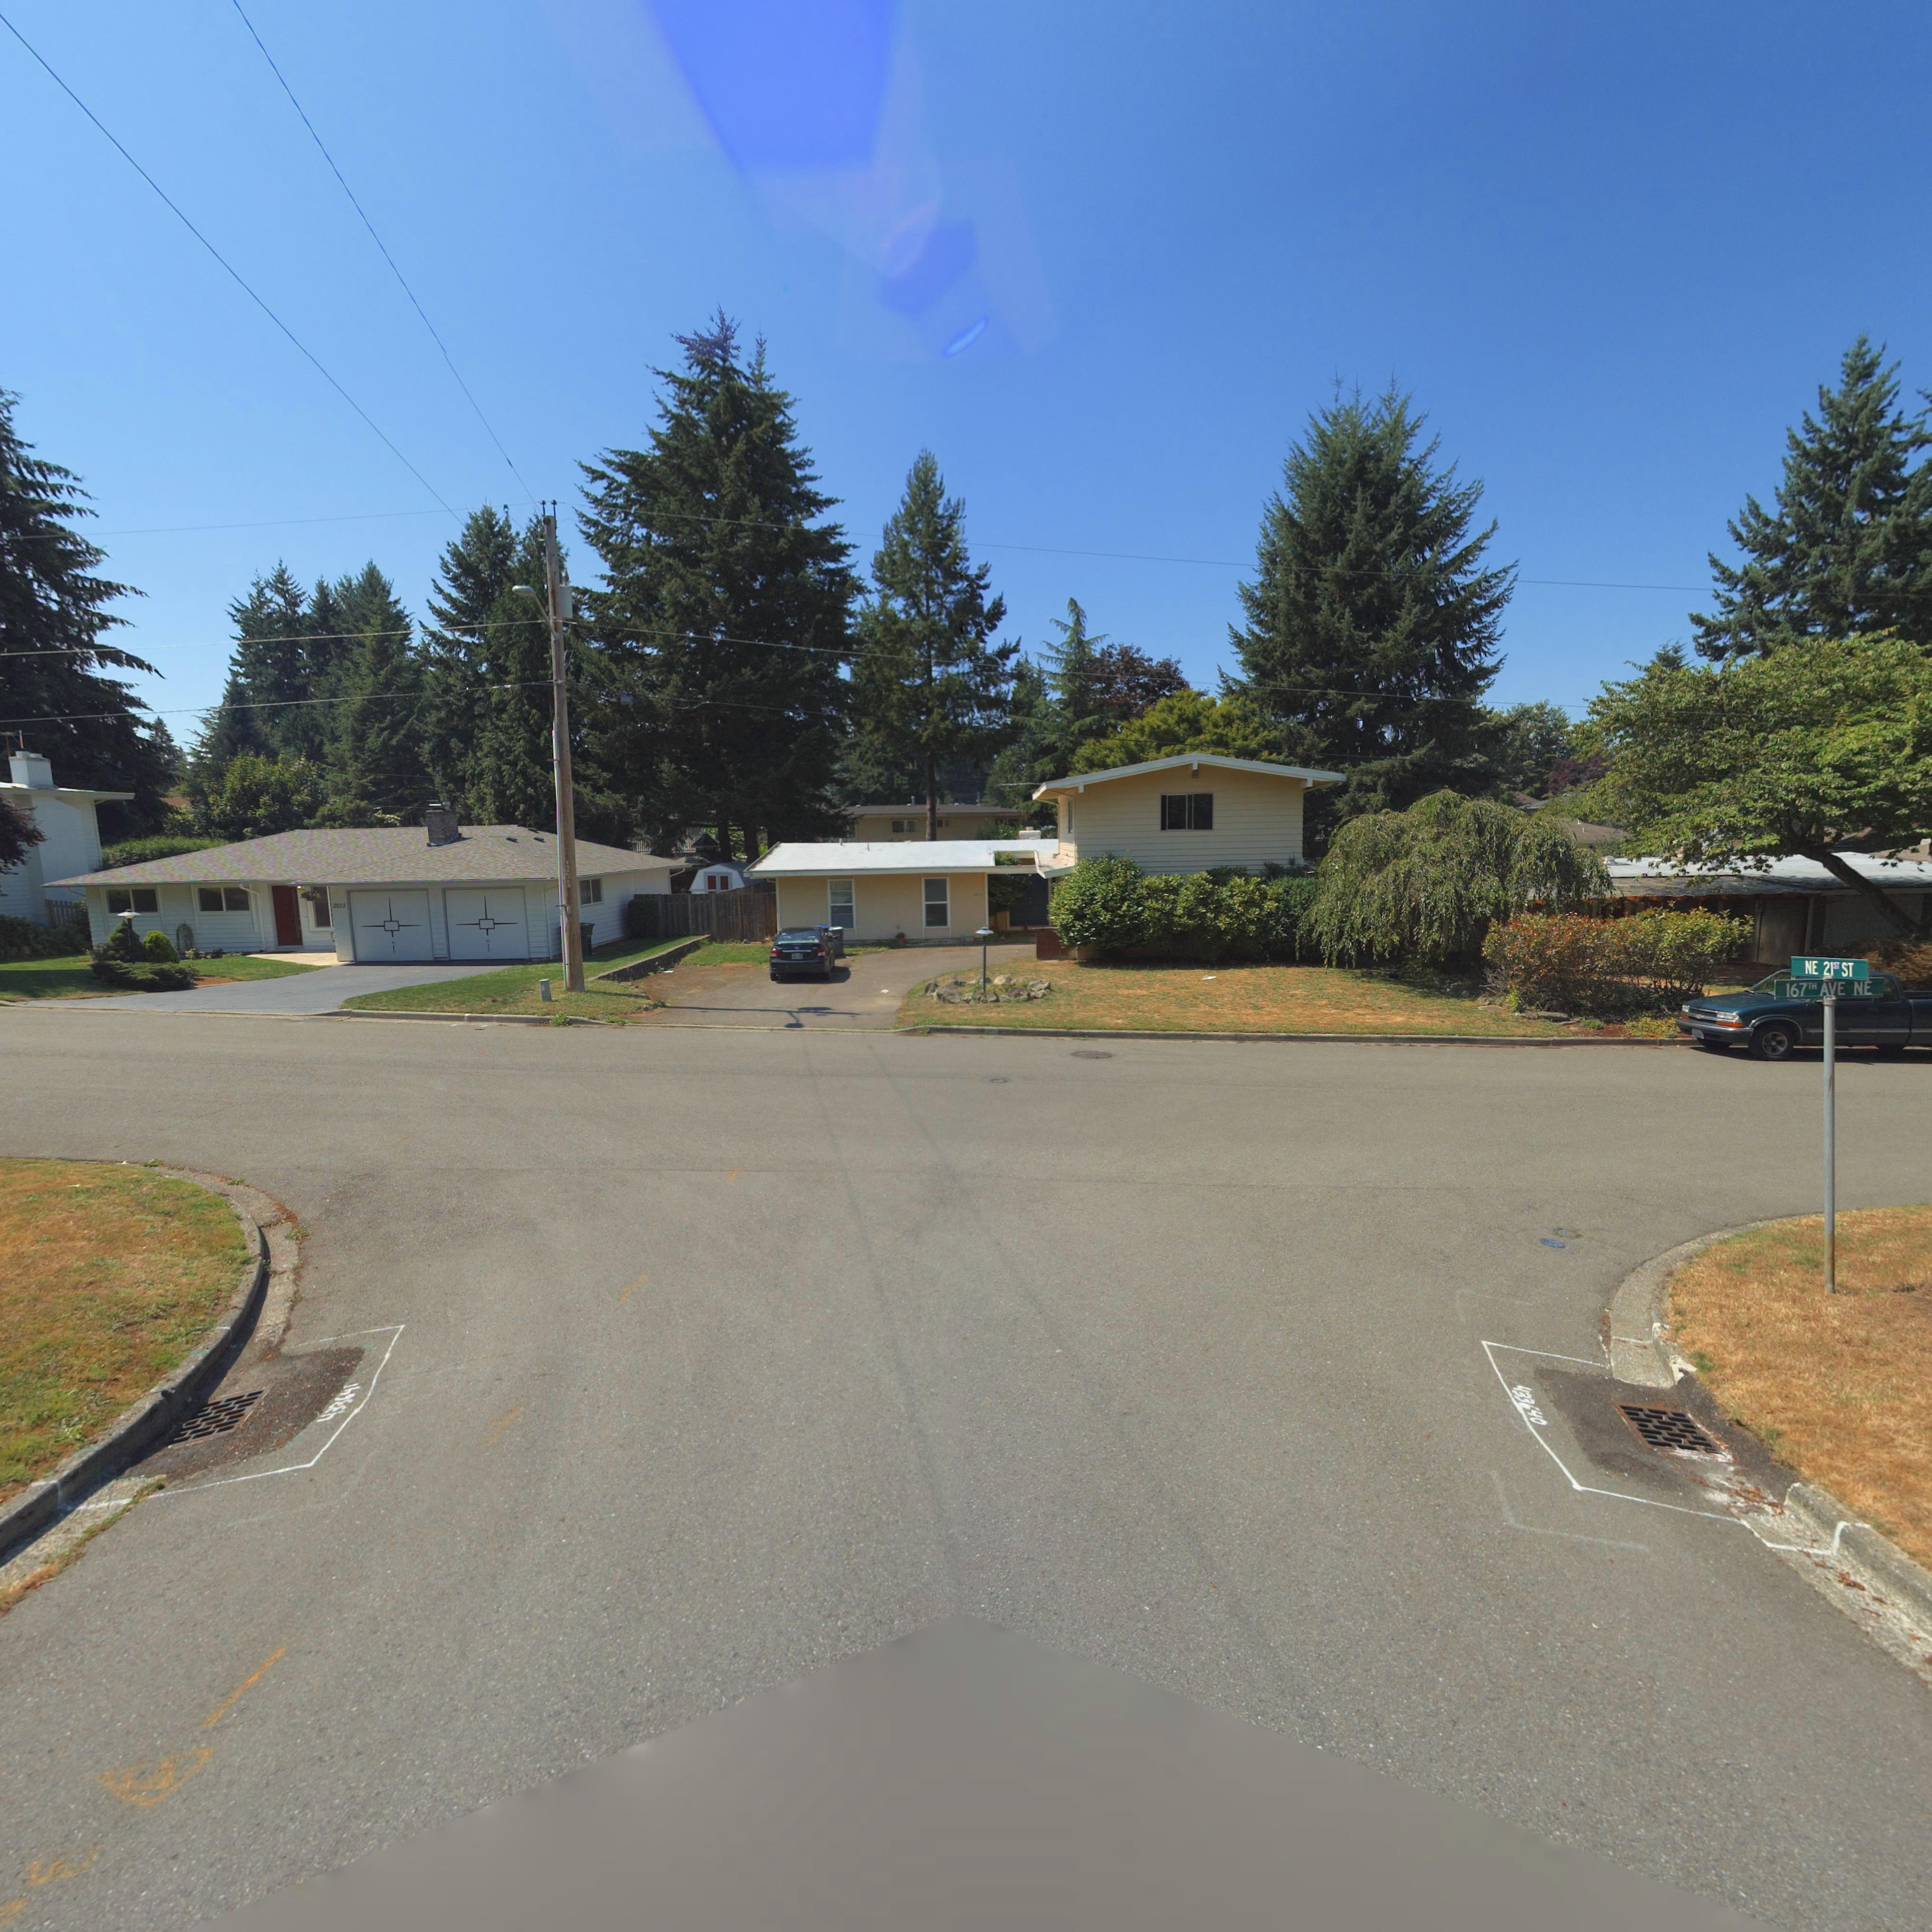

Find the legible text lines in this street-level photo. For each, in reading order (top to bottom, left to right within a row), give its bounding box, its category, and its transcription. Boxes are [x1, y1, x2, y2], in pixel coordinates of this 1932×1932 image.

[333, 902, 345, 908] StreetNumber: 2013
[1804, 959, 1855, 977] StreetName: NE 21ST ST
[1786, 980, 1873, 997] StreetName: 167TH AVE NE